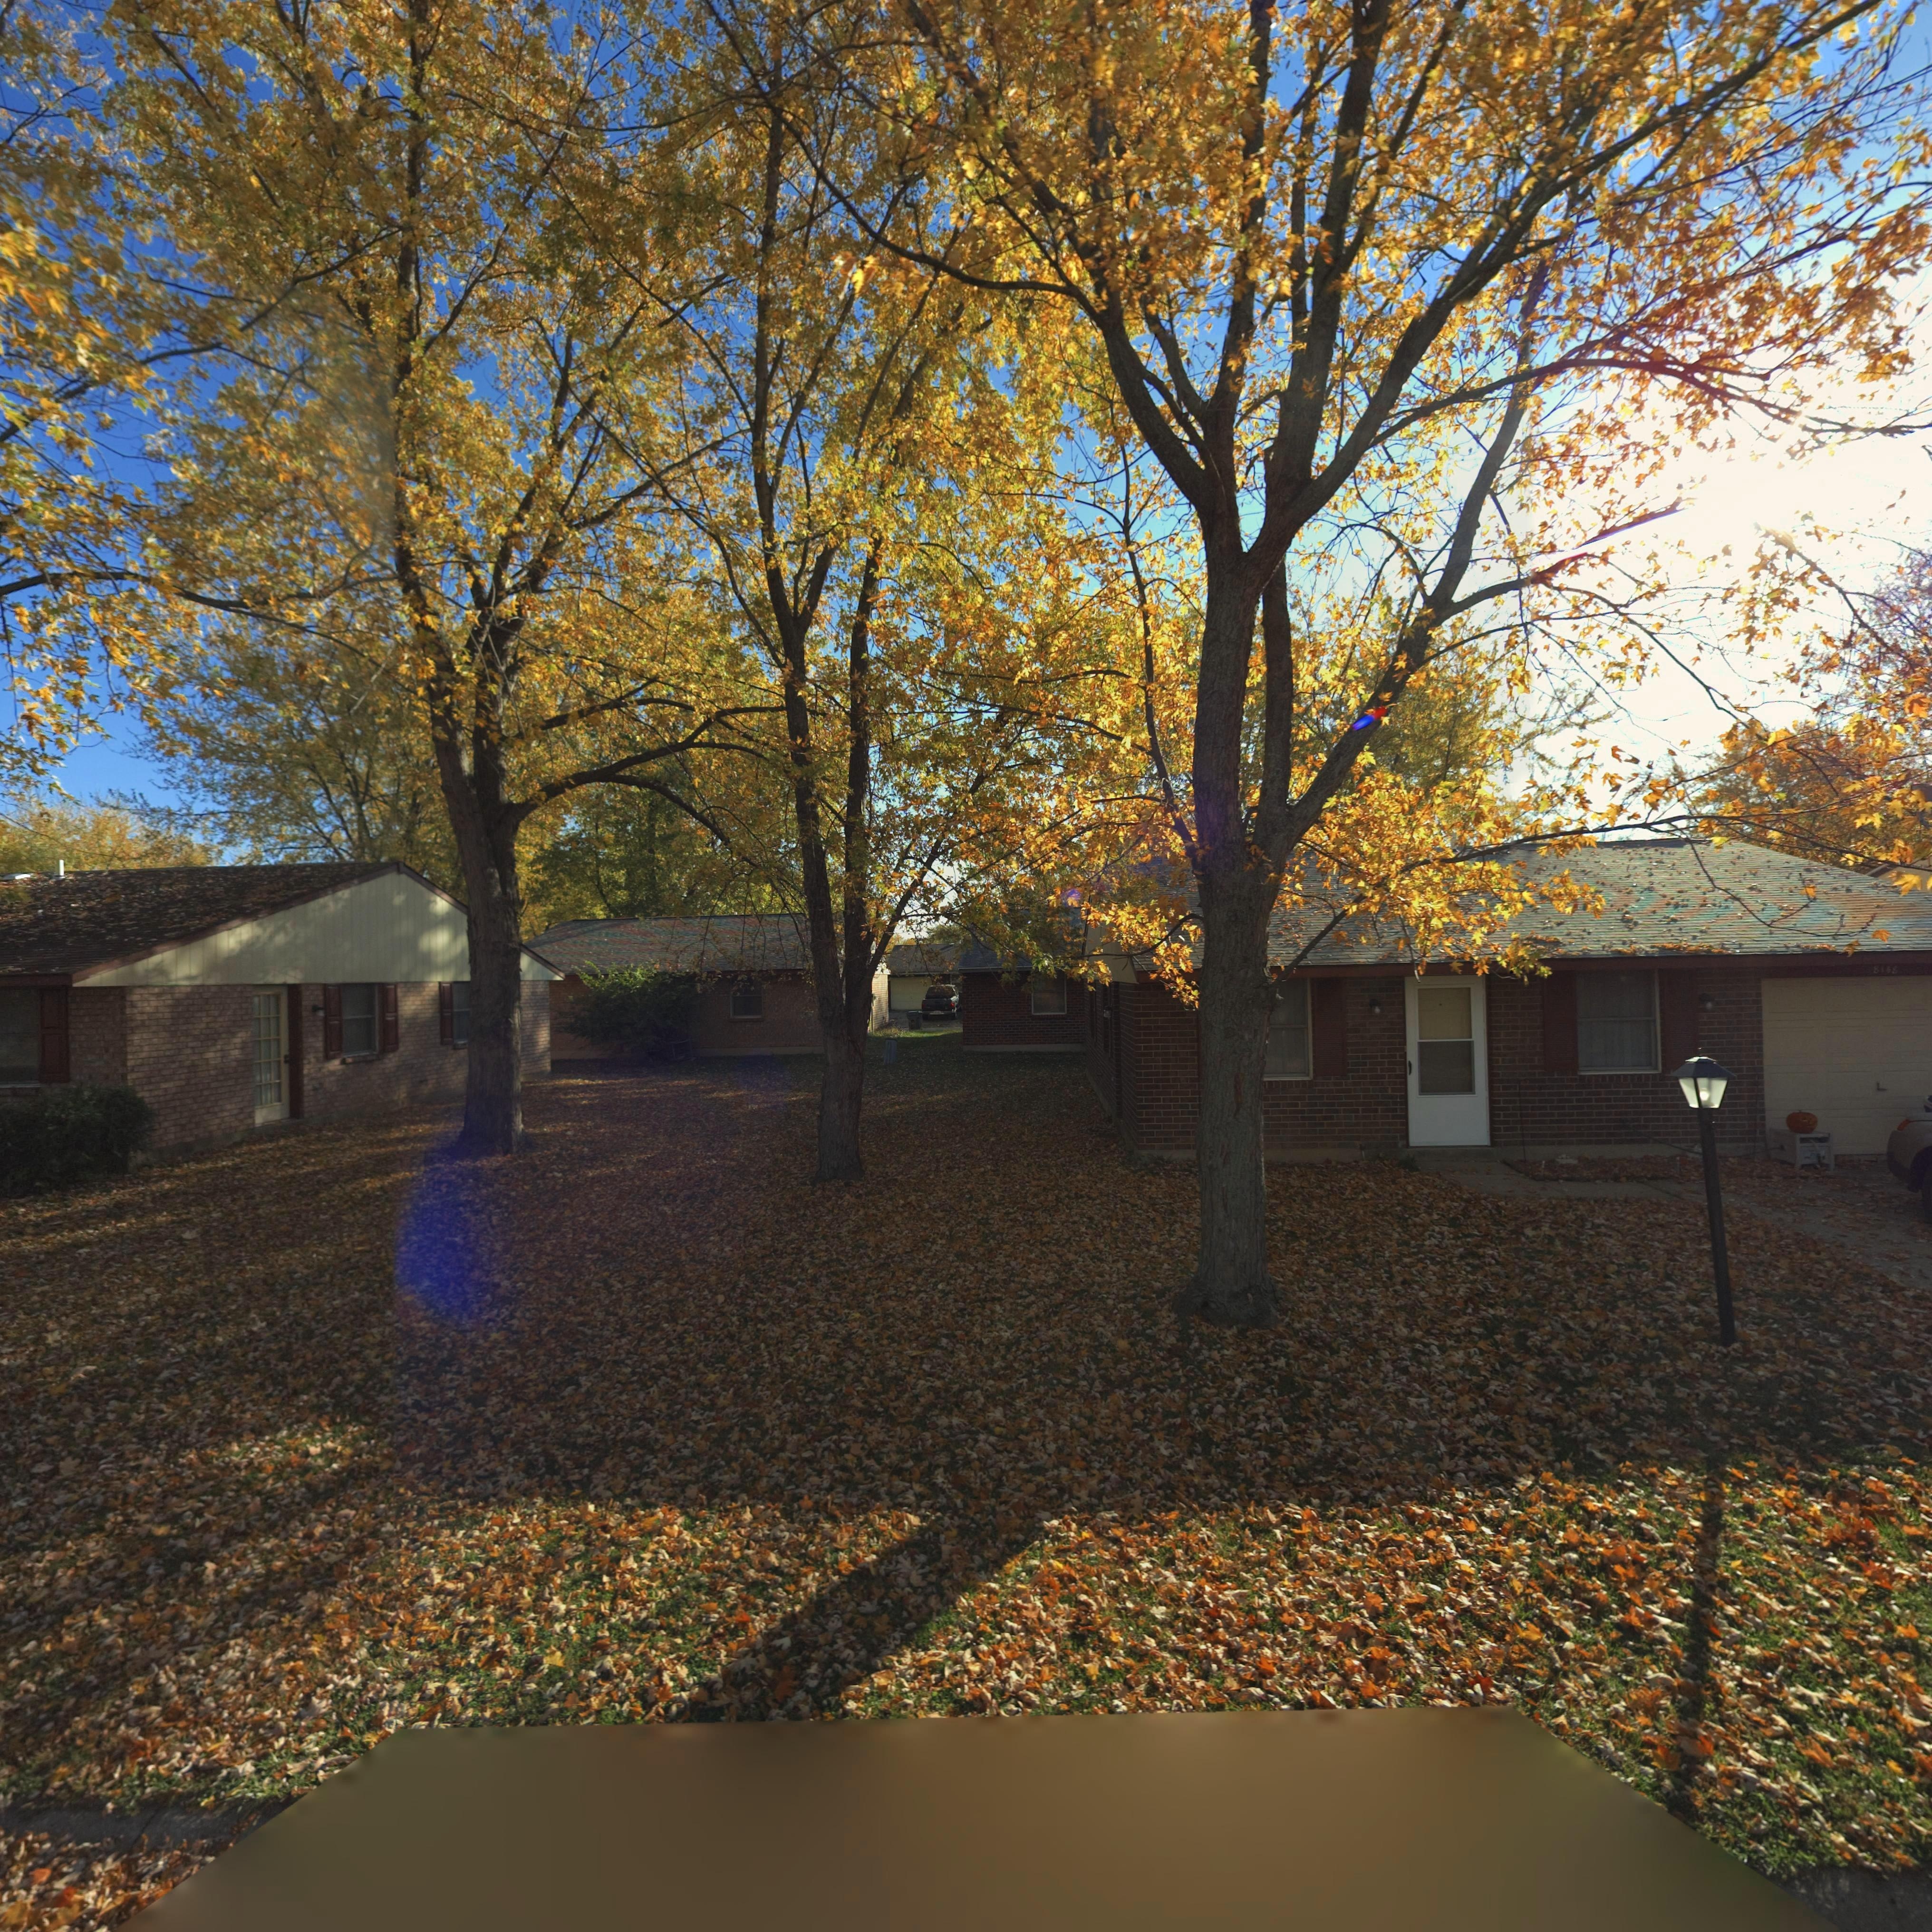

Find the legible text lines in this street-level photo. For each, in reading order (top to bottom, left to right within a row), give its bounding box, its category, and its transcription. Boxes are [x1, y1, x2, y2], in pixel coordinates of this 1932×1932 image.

[1871, 964, 1899, 975] StreetNumber: 8148